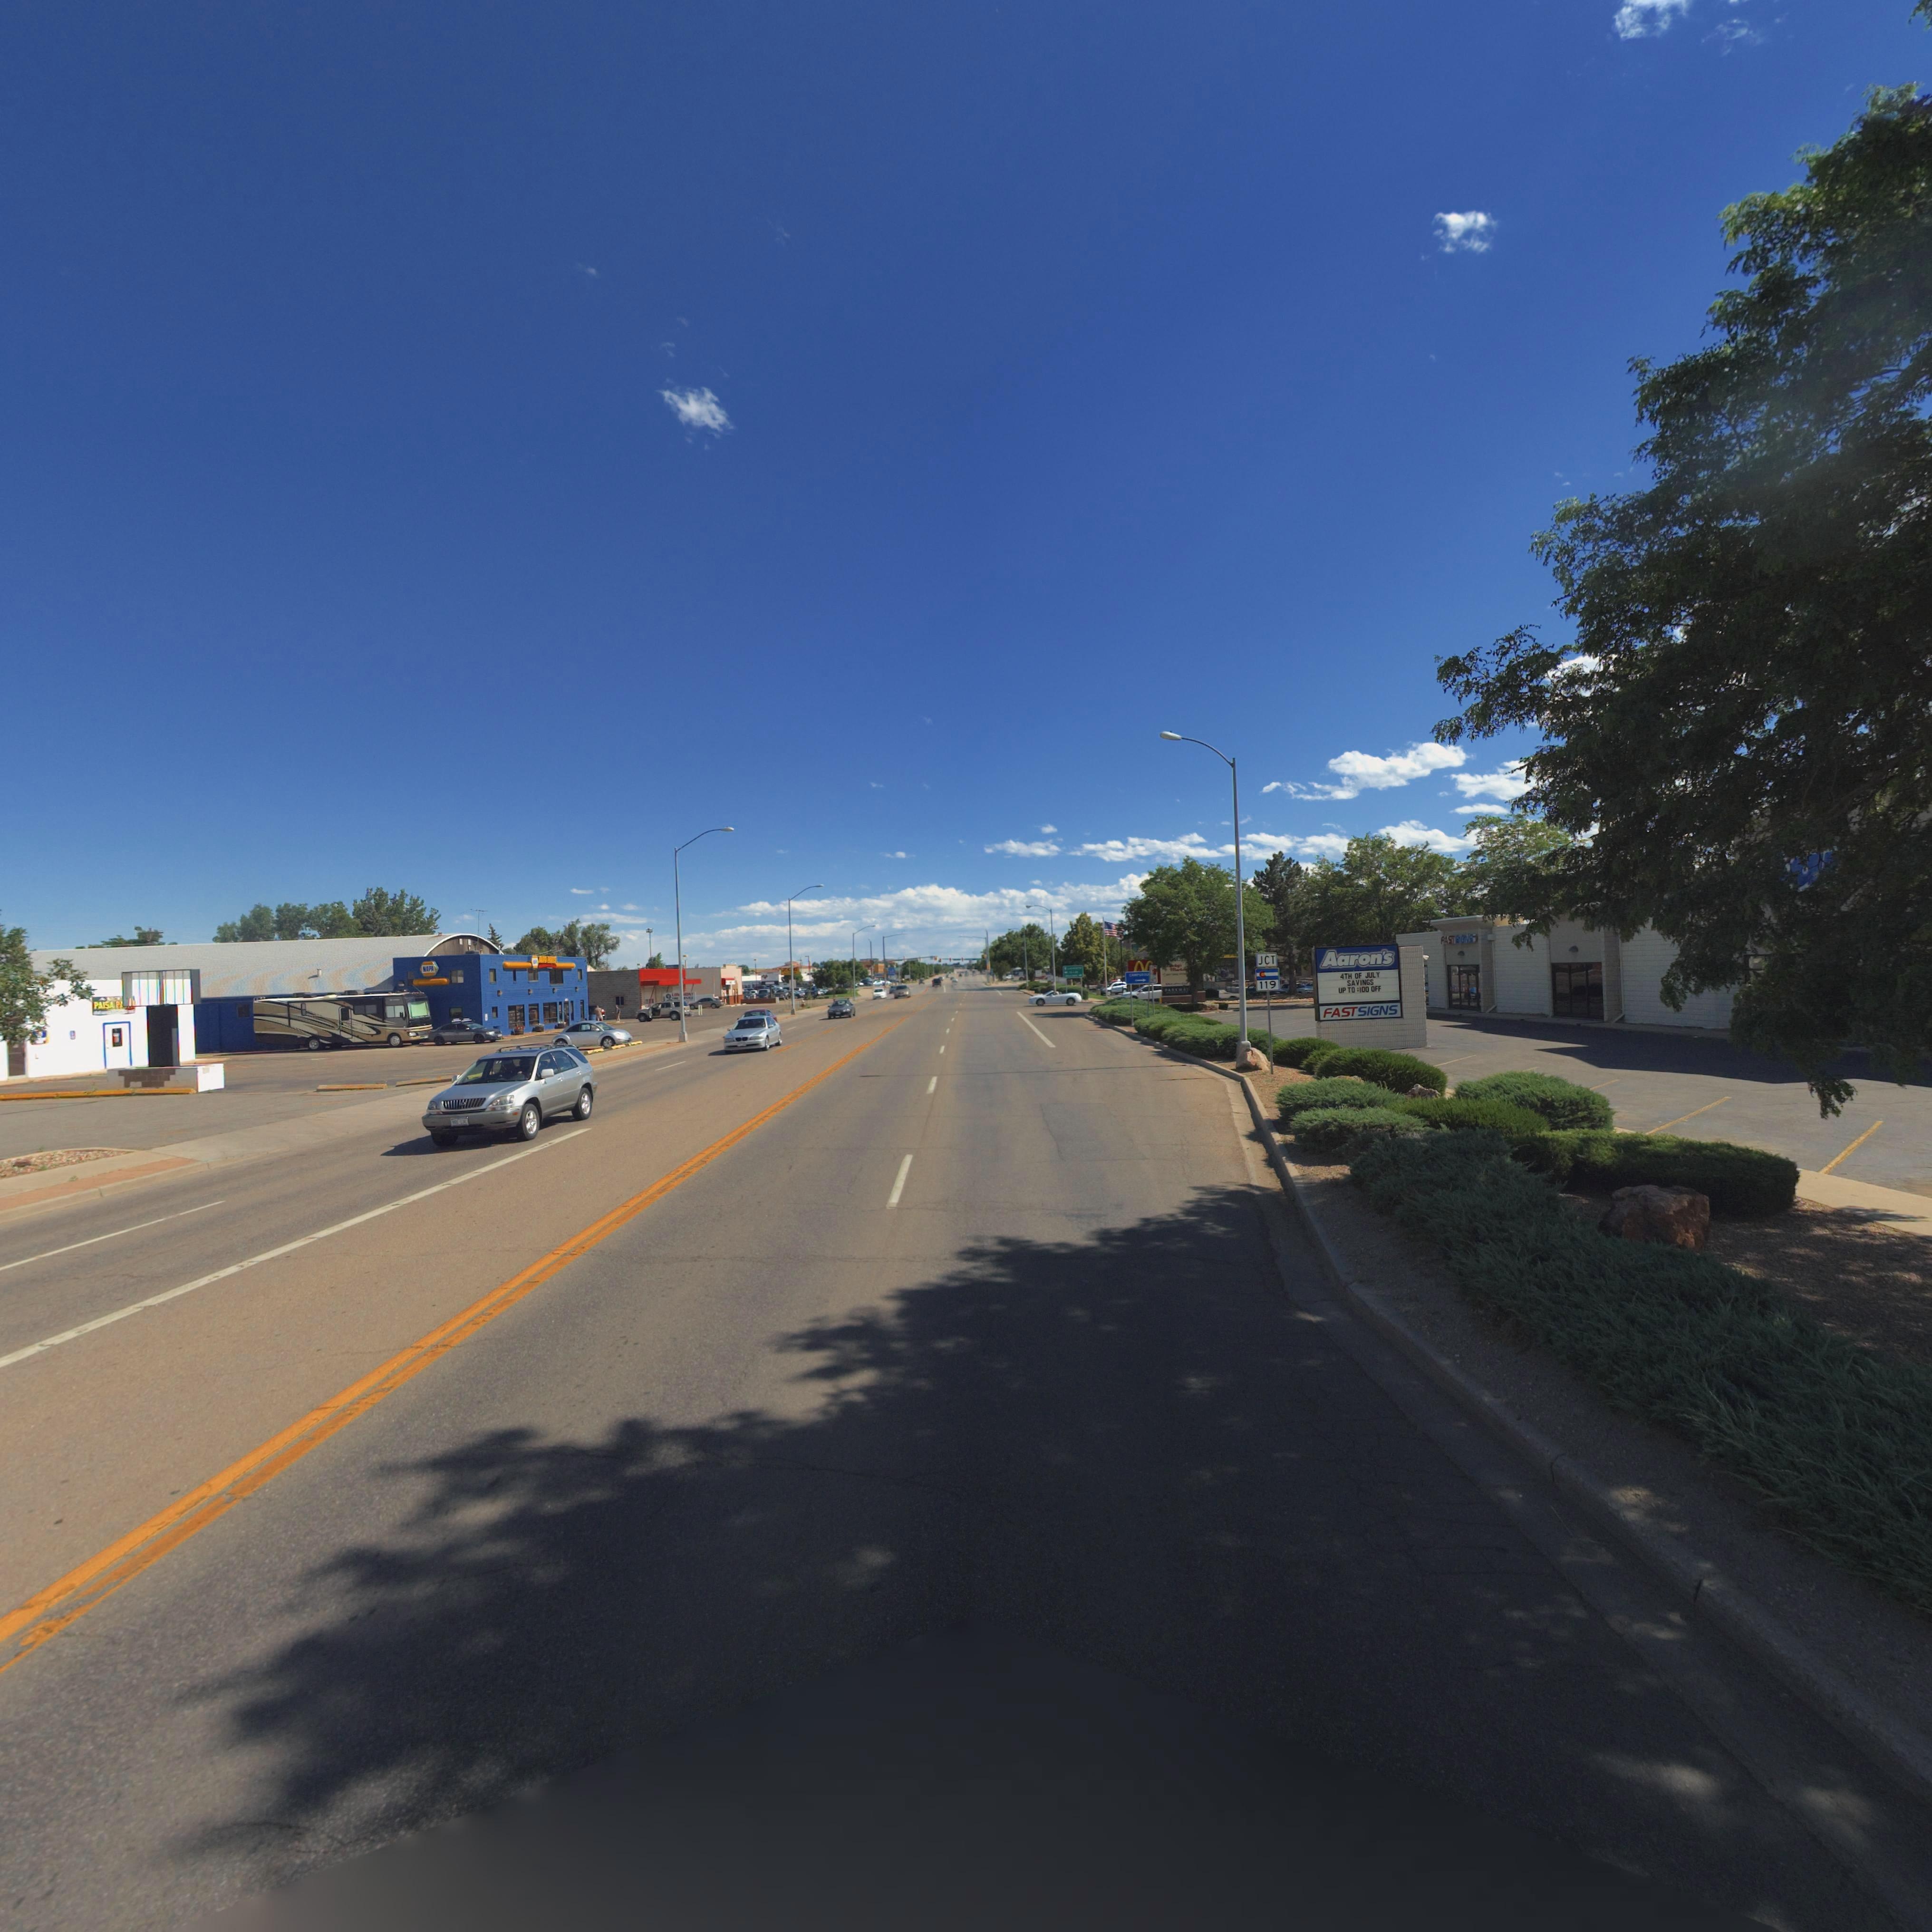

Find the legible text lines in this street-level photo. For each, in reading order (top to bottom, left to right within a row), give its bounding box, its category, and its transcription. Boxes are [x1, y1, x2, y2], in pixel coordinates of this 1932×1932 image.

[1439, 933, 1476, 945] BusinessName: FASTS*GNS
[1319, 949, 1394, 967] BusinessName: Aaron's
[422, 965, 435, 972] BusinessName: N*PA
[782, 966, 797, 972] BusinessName: ZOE
[1169, 967, 1180, 971] BusinessName: Mar
[93, 1000, 121, 1010] BusinessName: PAISA P
[1323, 1004, 1398, 1018] BusinessName: FASTSIGNS